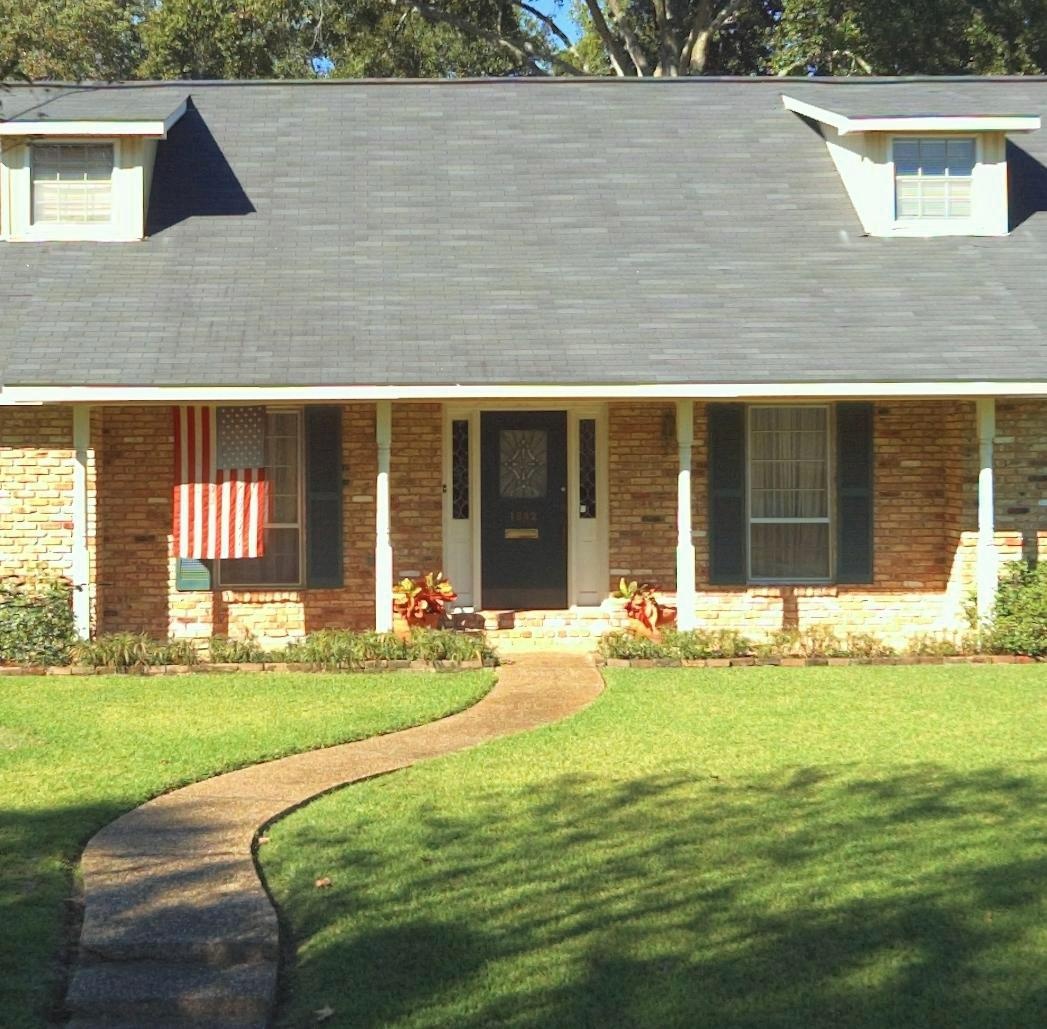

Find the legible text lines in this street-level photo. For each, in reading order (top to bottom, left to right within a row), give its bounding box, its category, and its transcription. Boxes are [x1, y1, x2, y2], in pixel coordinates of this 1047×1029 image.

[508, 509, 539, 523] StreetNumber: 1842